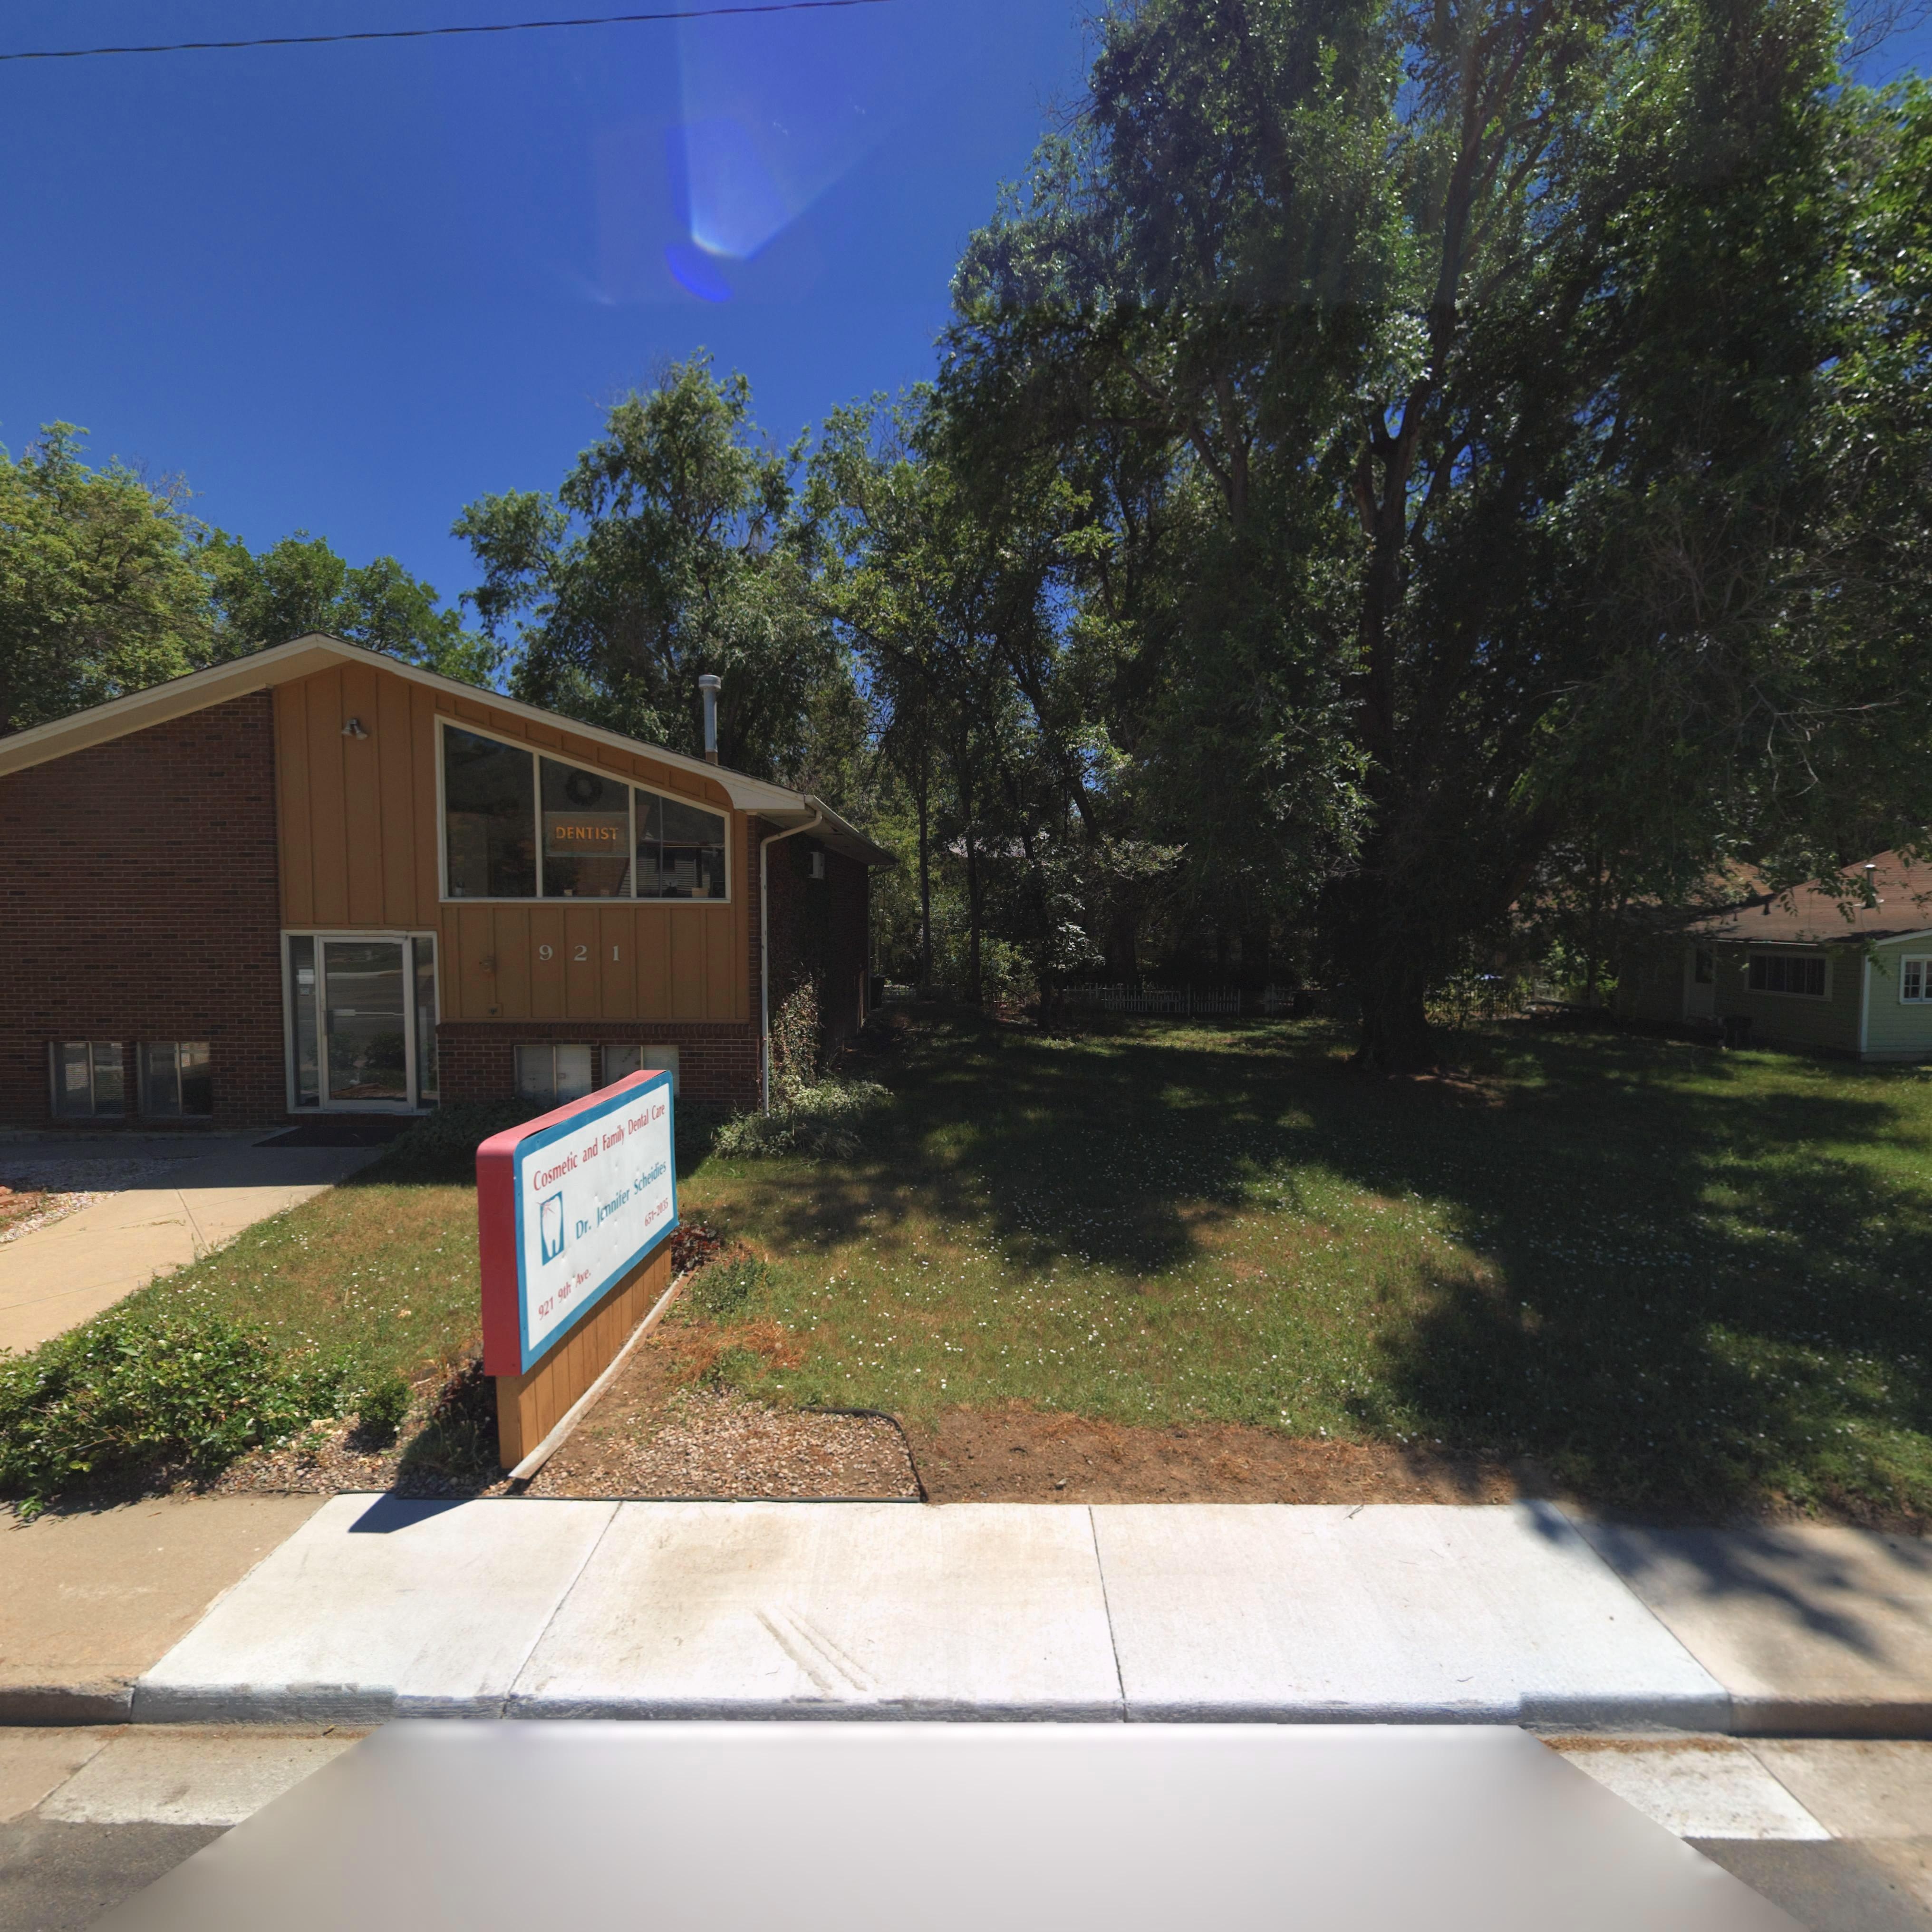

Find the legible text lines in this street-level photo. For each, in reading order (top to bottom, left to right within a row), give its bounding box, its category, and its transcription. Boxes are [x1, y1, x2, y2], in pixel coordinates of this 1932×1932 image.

[537, 944, 620, 962] StreetNumber: 921
[574, 1159, 666, 1241] StreetNumber: Dr. Jennifer Schneidies
[557, 1268, 592, 1304] StreetName: 9th Ave.
[538, 1294, 553, 1321] StreetNumber: 921